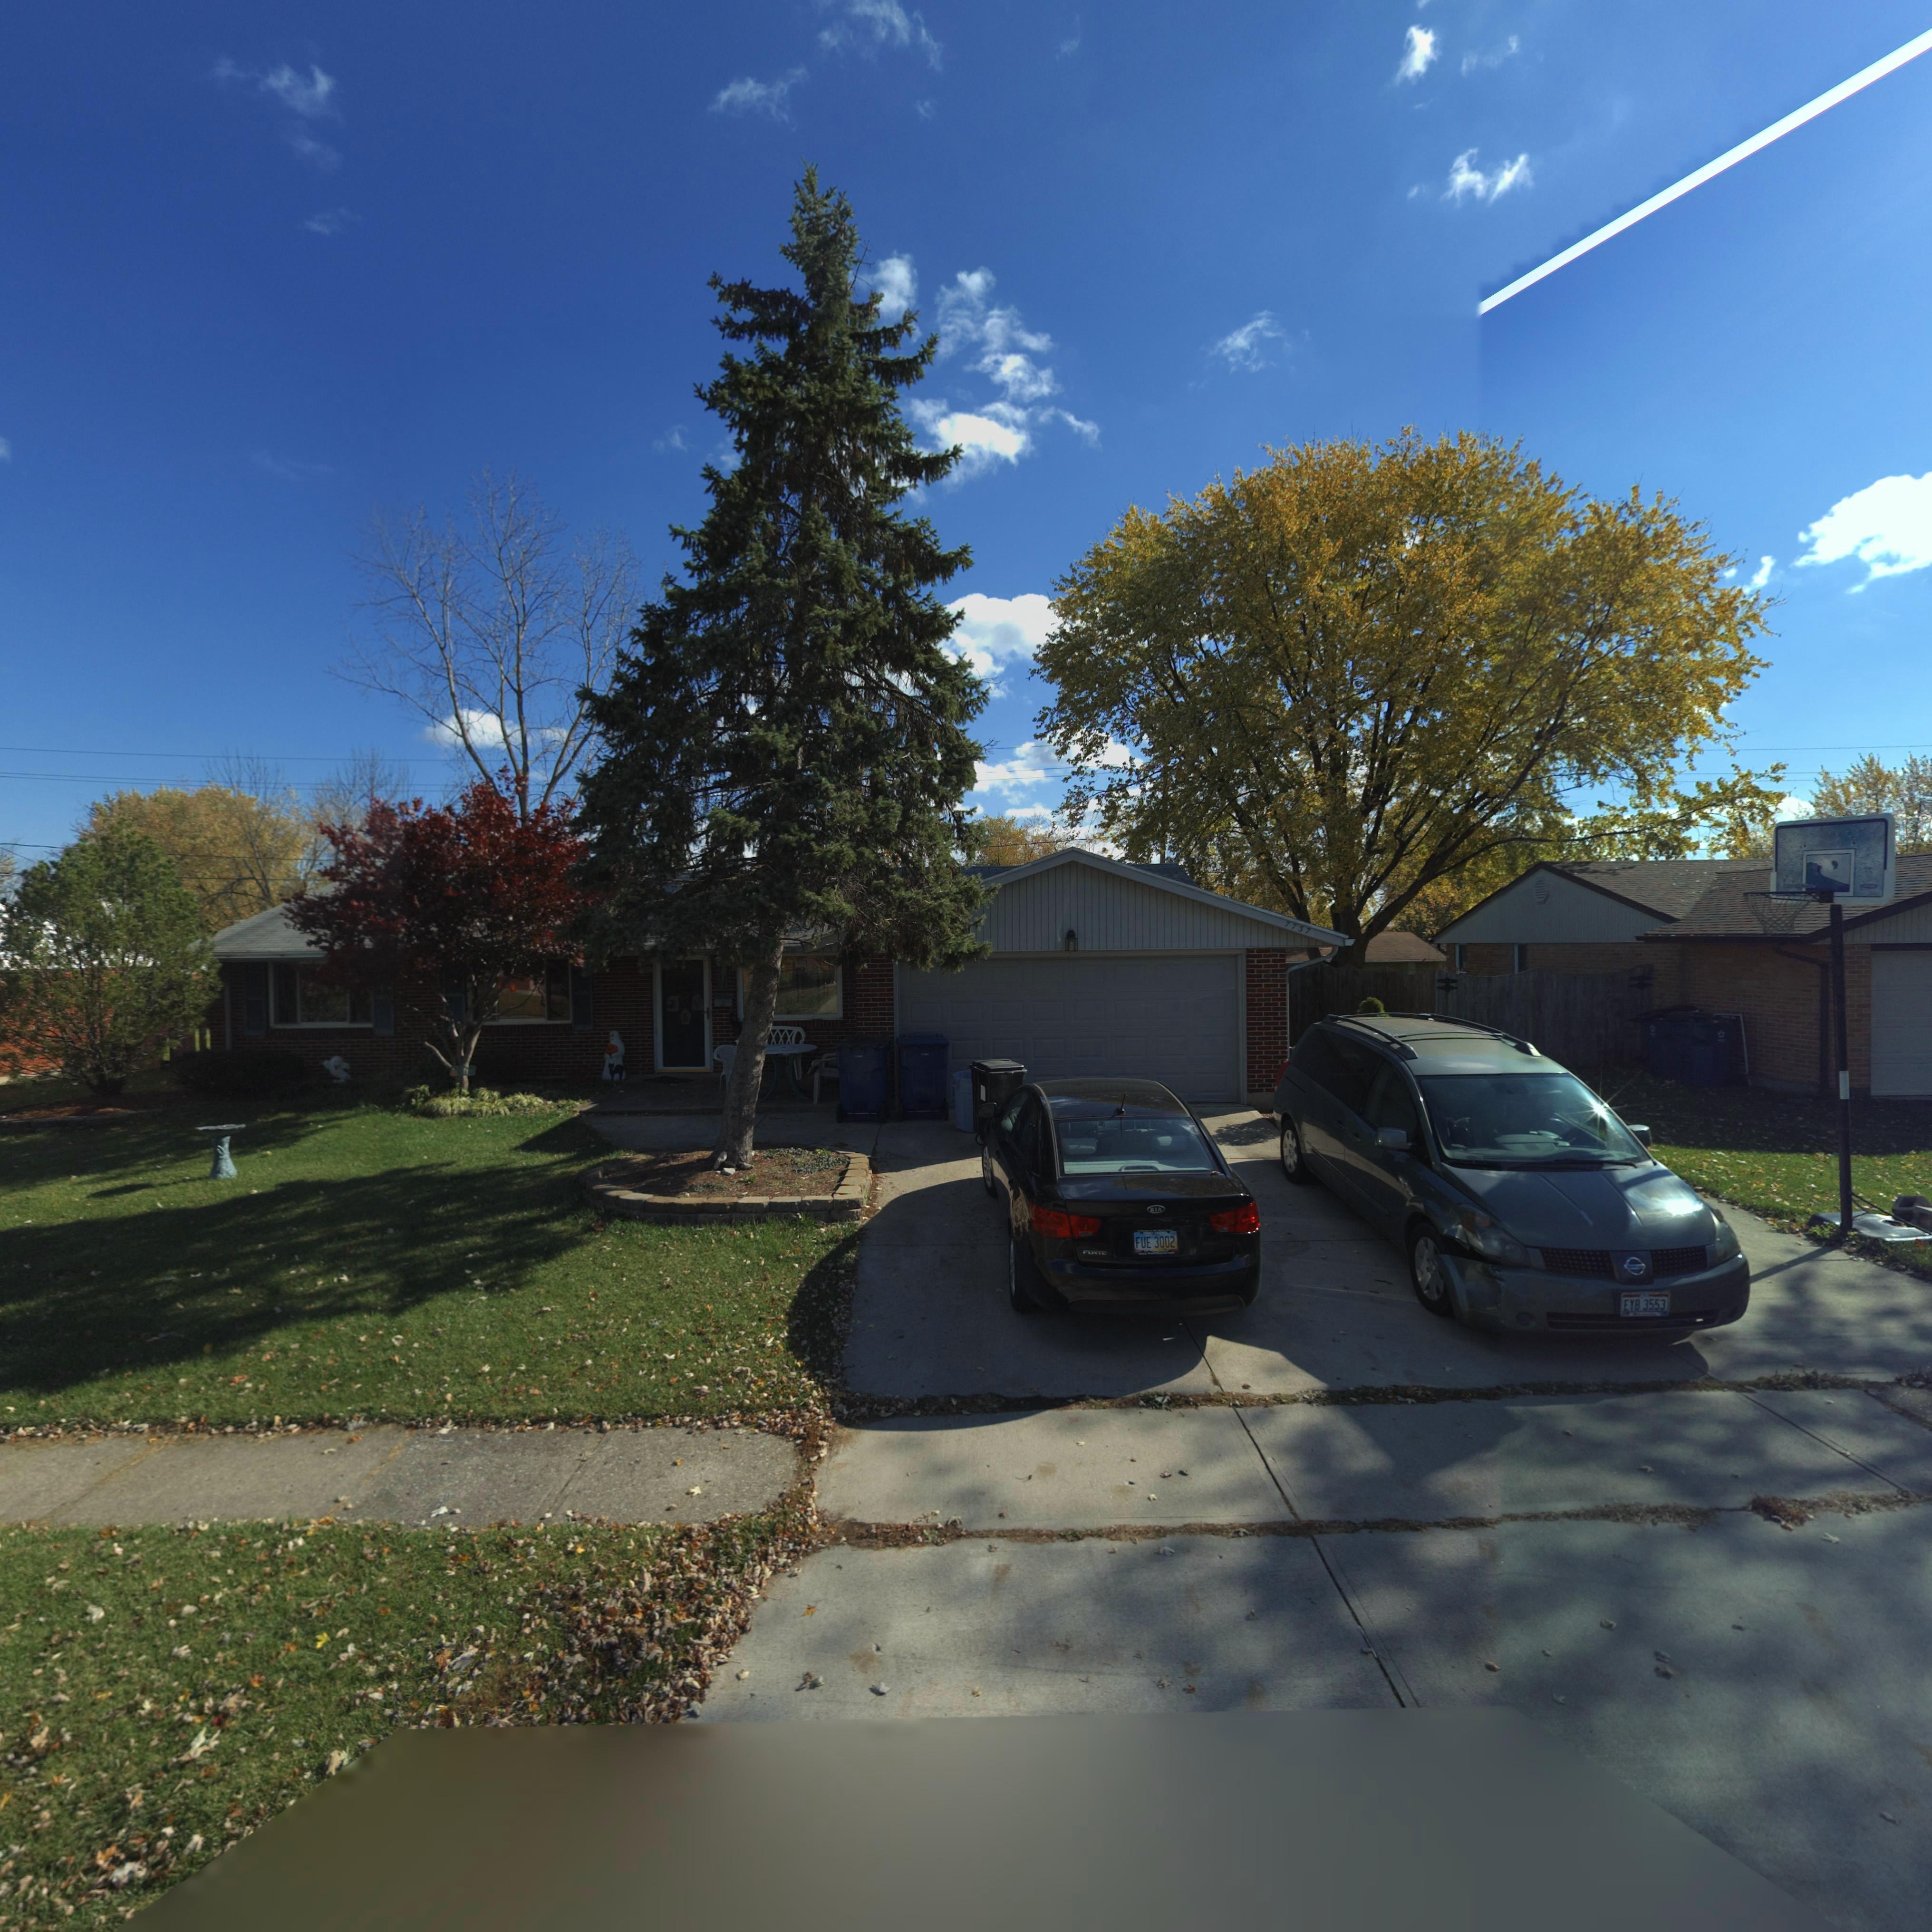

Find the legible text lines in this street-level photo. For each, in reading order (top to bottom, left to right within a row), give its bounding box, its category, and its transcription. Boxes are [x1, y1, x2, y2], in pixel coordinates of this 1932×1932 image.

[1282, 919, 1313, 935] StreetNumber: 77*7